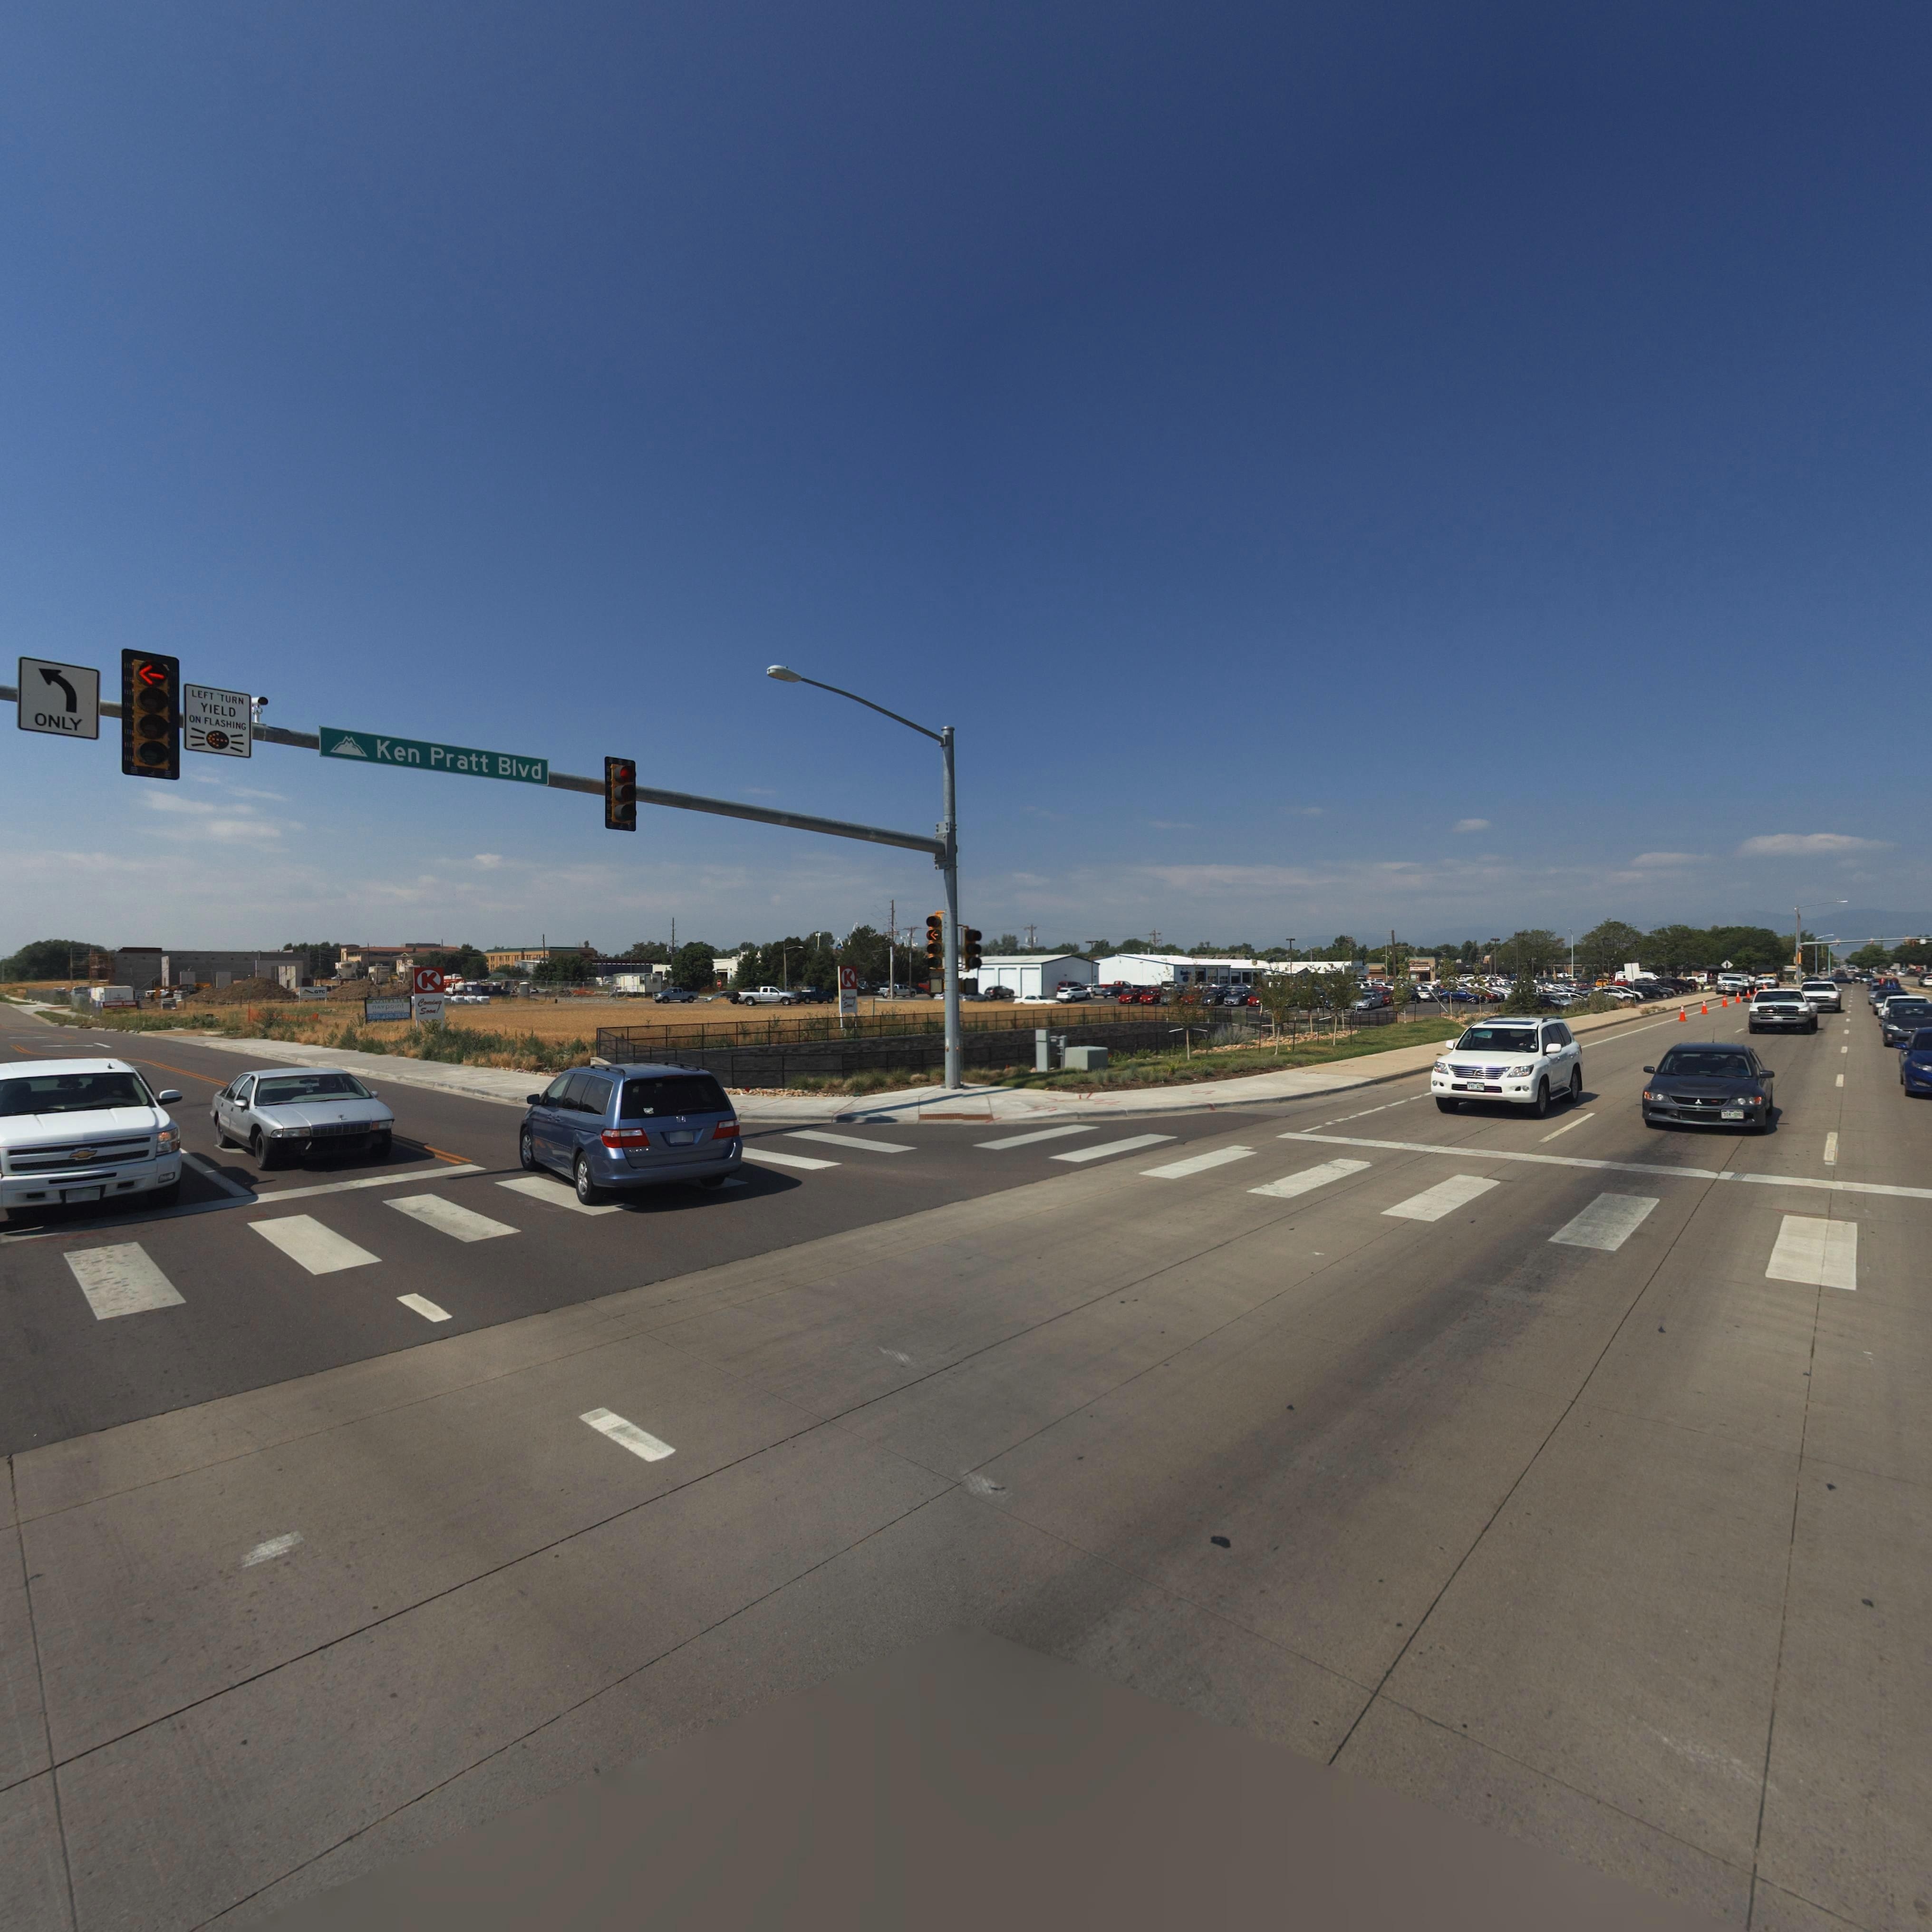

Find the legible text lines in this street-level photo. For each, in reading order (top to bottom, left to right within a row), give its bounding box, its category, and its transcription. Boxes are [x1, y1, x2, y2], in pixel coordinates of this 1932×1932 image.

[375, 738, 543, 781] BusinessName: Ken Pratt Blvd